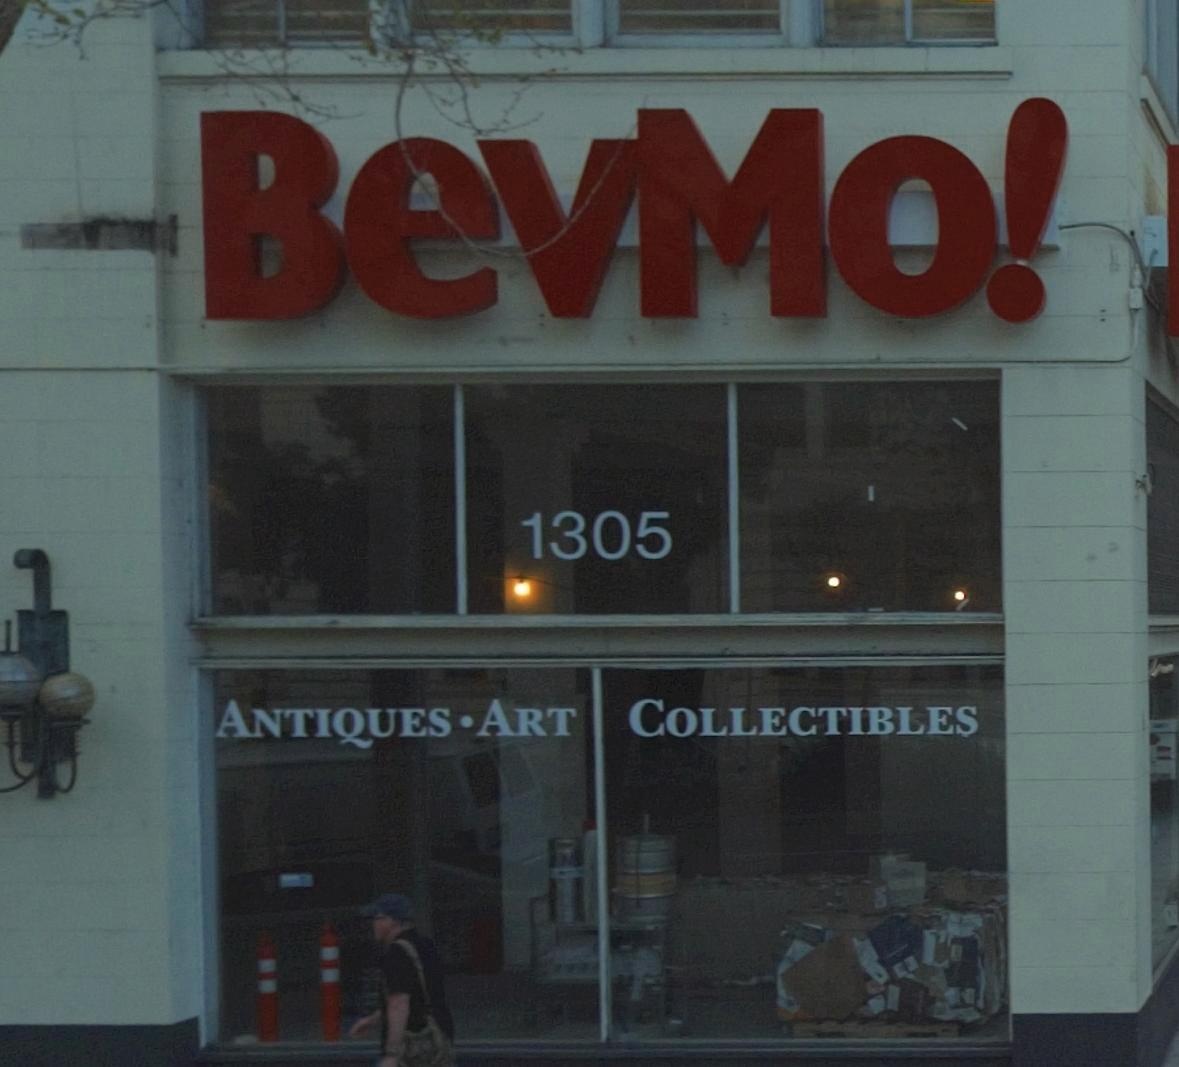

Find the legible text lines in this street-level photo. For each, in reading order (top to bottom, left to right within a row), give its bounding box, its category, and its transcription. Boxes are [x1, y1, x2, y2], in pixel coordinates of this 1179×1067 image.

[185, 83, 1081, 337] BusinessName: BevMo!
[516, 506, 677, 568] StreetNumber: 1305
[211, 694, 581, 752] None: ANTIQUES * ART
[625, 695, 982, 742] None: COLLECTIBLES